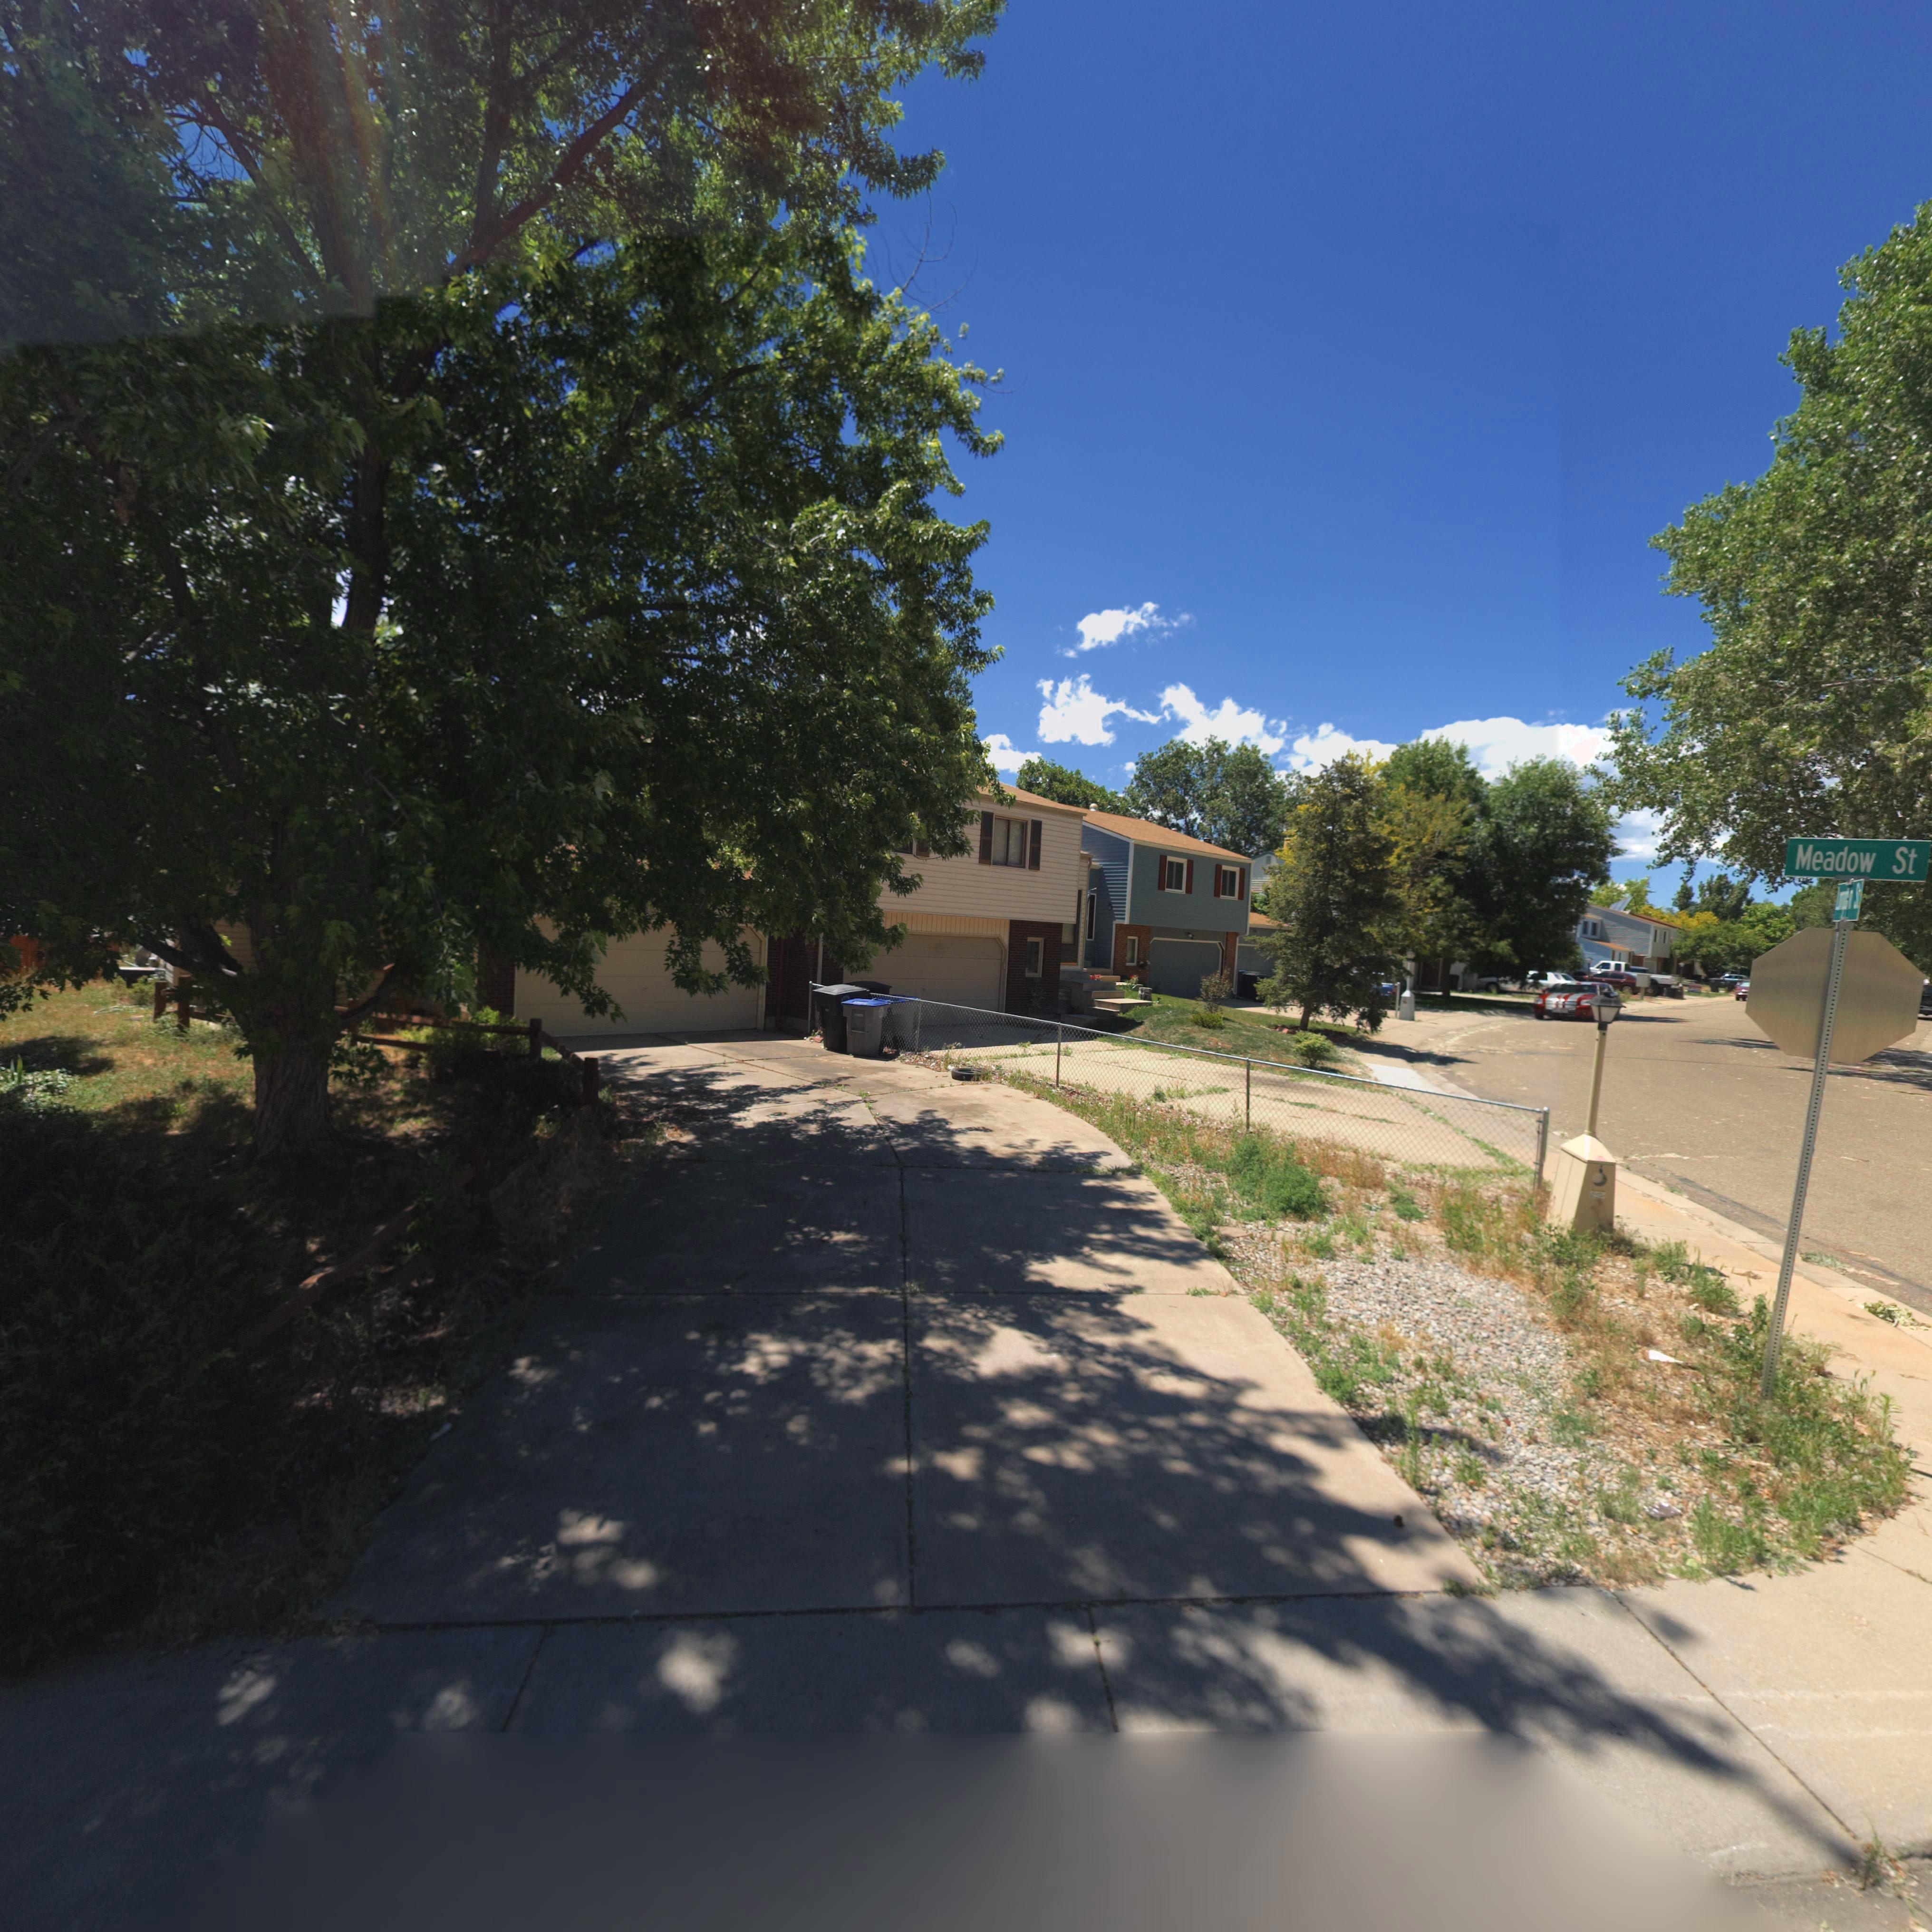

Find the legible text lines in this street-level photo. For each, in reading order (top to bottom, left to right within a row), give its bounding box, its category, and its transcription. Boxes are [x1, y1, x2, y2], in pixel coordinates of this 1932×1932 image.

[1795, 844, 1917, 874] StreetName: Meadow St
[1834, 882, 1860, 919] StreetName: L**gd*n S